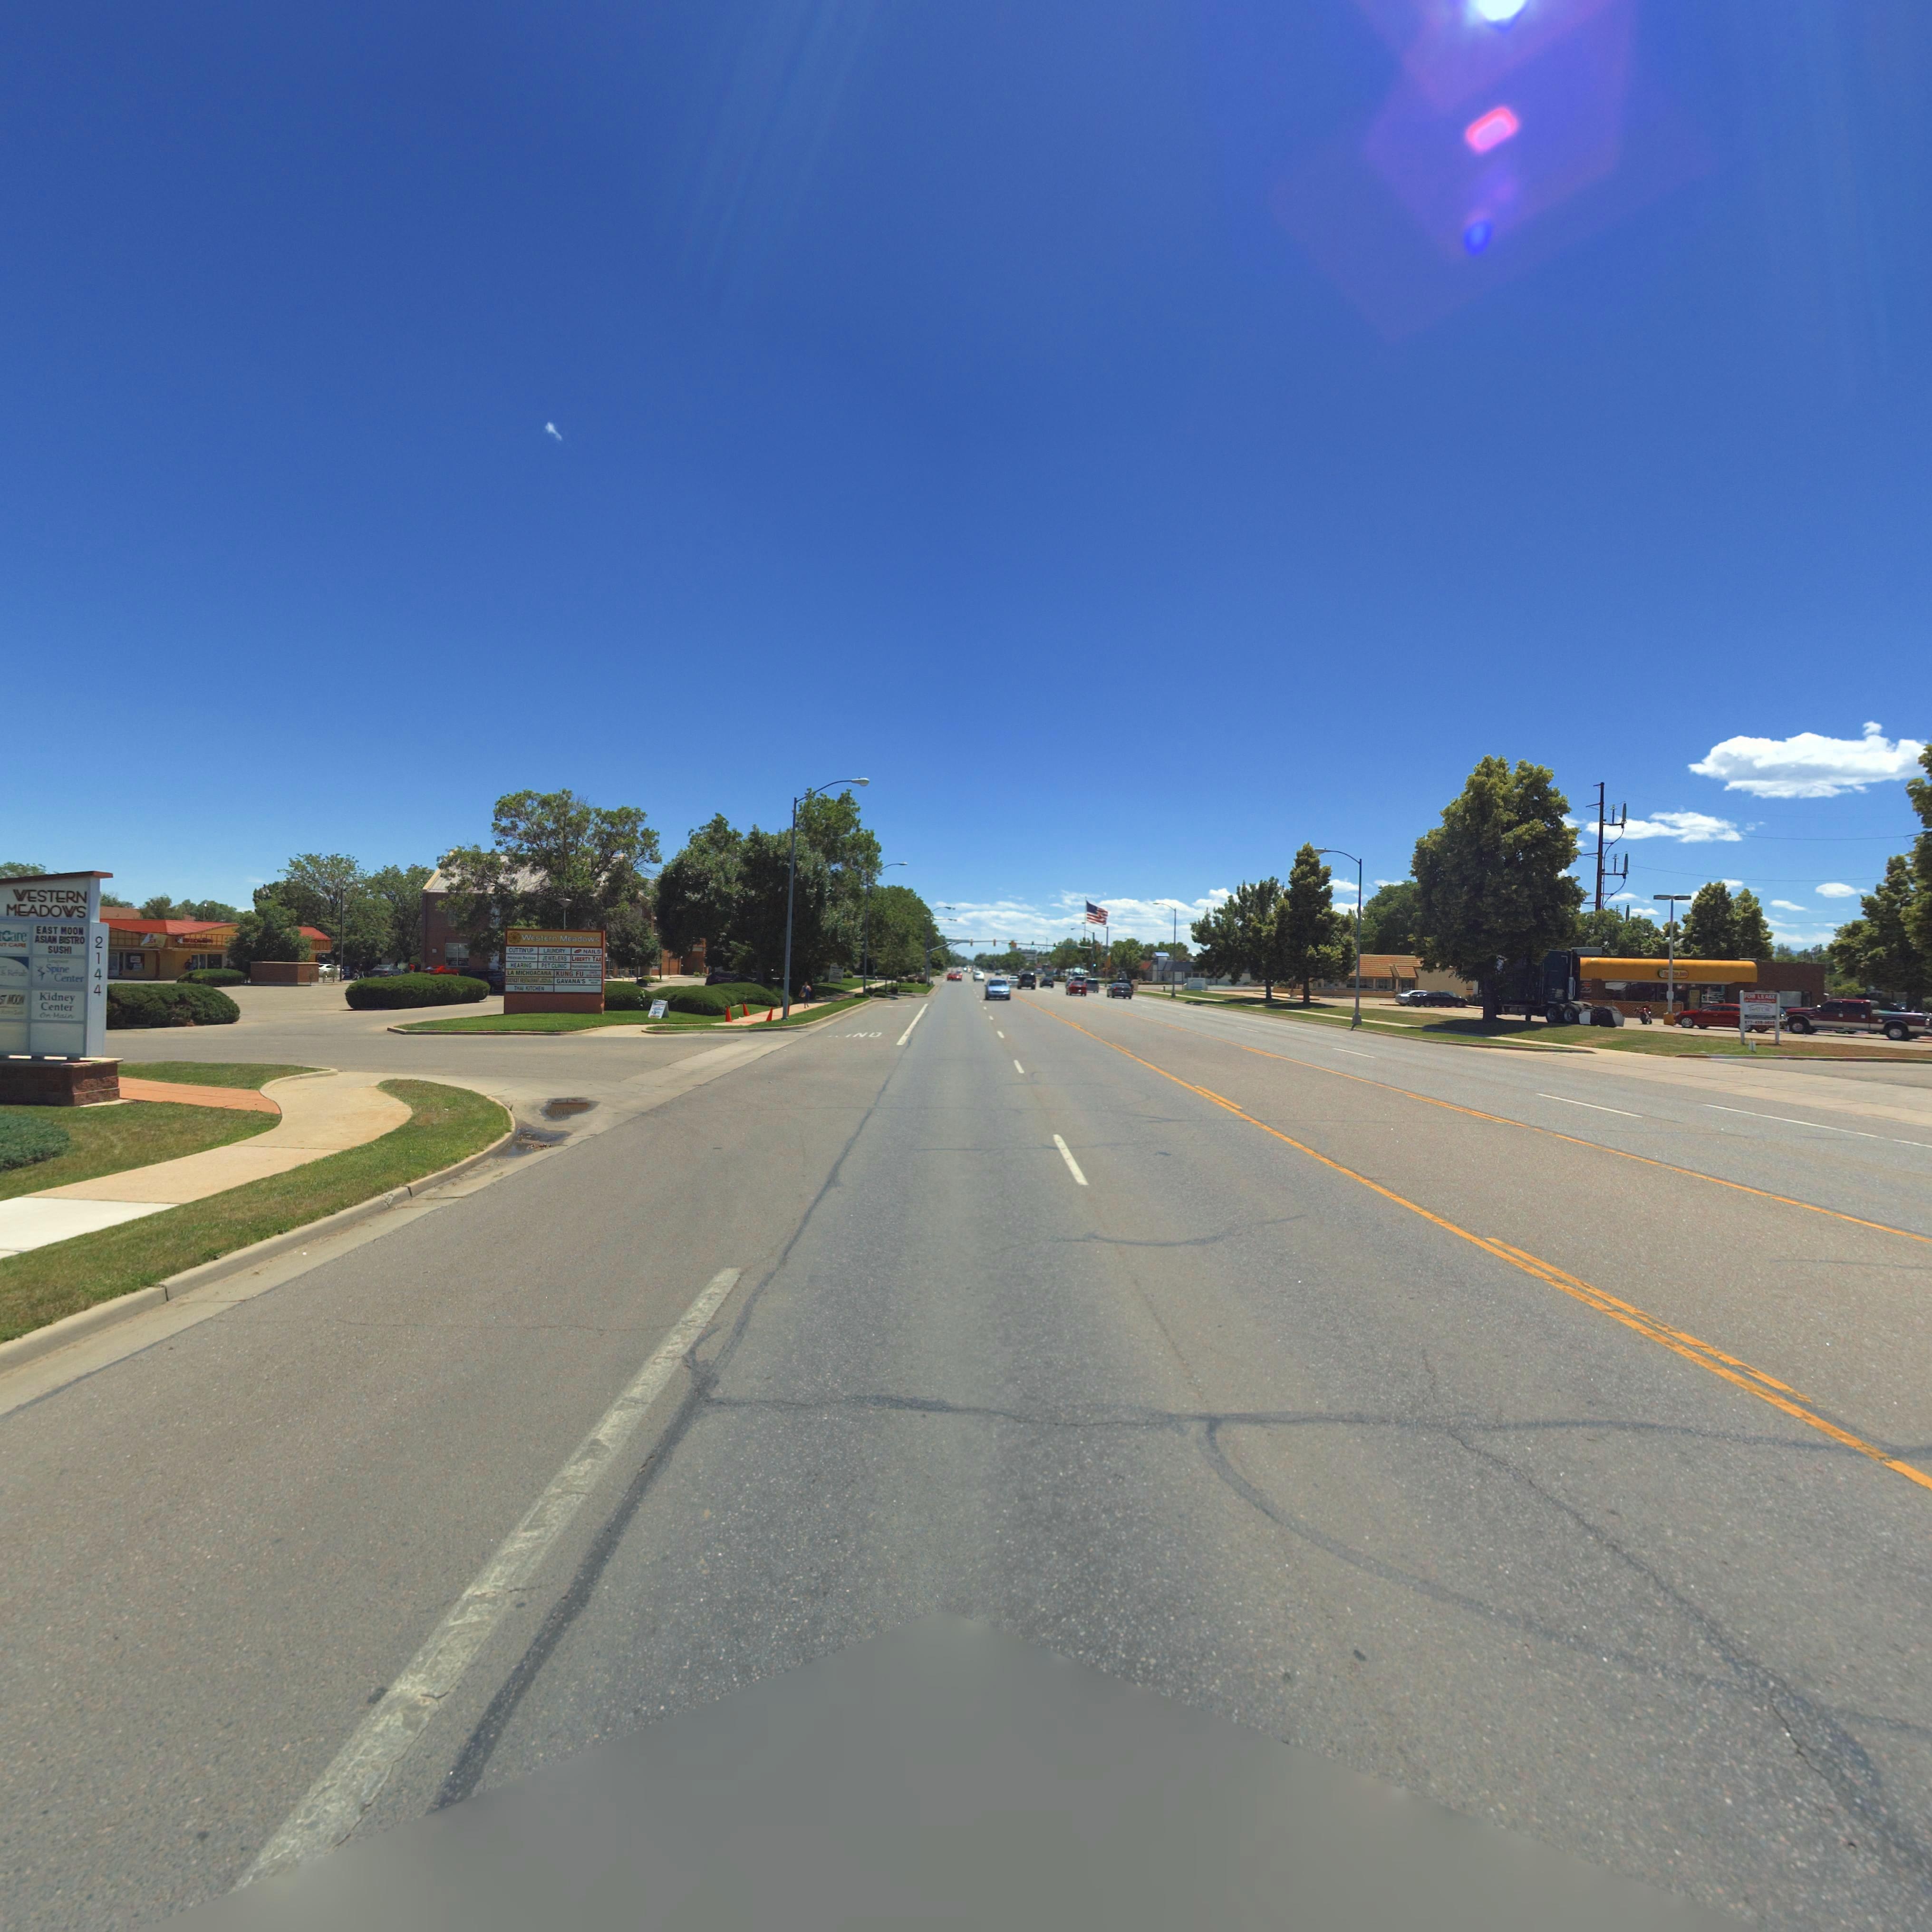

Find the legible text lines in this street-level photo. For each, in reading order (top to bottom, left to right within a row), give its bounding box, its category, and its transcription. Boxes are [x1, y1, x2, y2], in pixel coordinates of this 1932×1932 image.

[36, 925, 84, 935] BusinessName: EAST MOON
[1, 929, 28, 942] BusinessName: Care
[34, 935, 86, 944] BusinessName: ASIAN BISTRO
[0, 942, 27, 948] BusinessName: *T CARE
[47, 945, 72, 954] BusinessName: SUSHI
[508, 947, 533, 953] BusinessName: CUTTIN UP
[0, 968, 28, 976] BusinessName: & Rehab
[45, 963, 70, 975] BusinessName: Spine
[47, 957, 69, 966] BusinessName: L*******
[54, 972, 85, 983] BusinessName: Center
[93, 935, 103, 997] StreetNumber: 2144
[506, 956, 536, 960] BusinessName: P******* B******
[505, 977, 540, 983] BusinessName: EVEREST RES****ANT
[507, 970, 552, 976] BusinessName: LA MICHOACARA
[556, 978, 586, 984] BusinessName: GAVANA'S
[570, 964, 601, 968] BusinessName: H******* B****t
[571, 956, 602, 962] BusinessName: LIBERTY TAX
[0, 994, 27, 1005] BusinessName: ST *OO*
[39, 992, 76, 1005] BusinessName: Kidney
[40, 1001, 74, 1011] BusinessName: Center